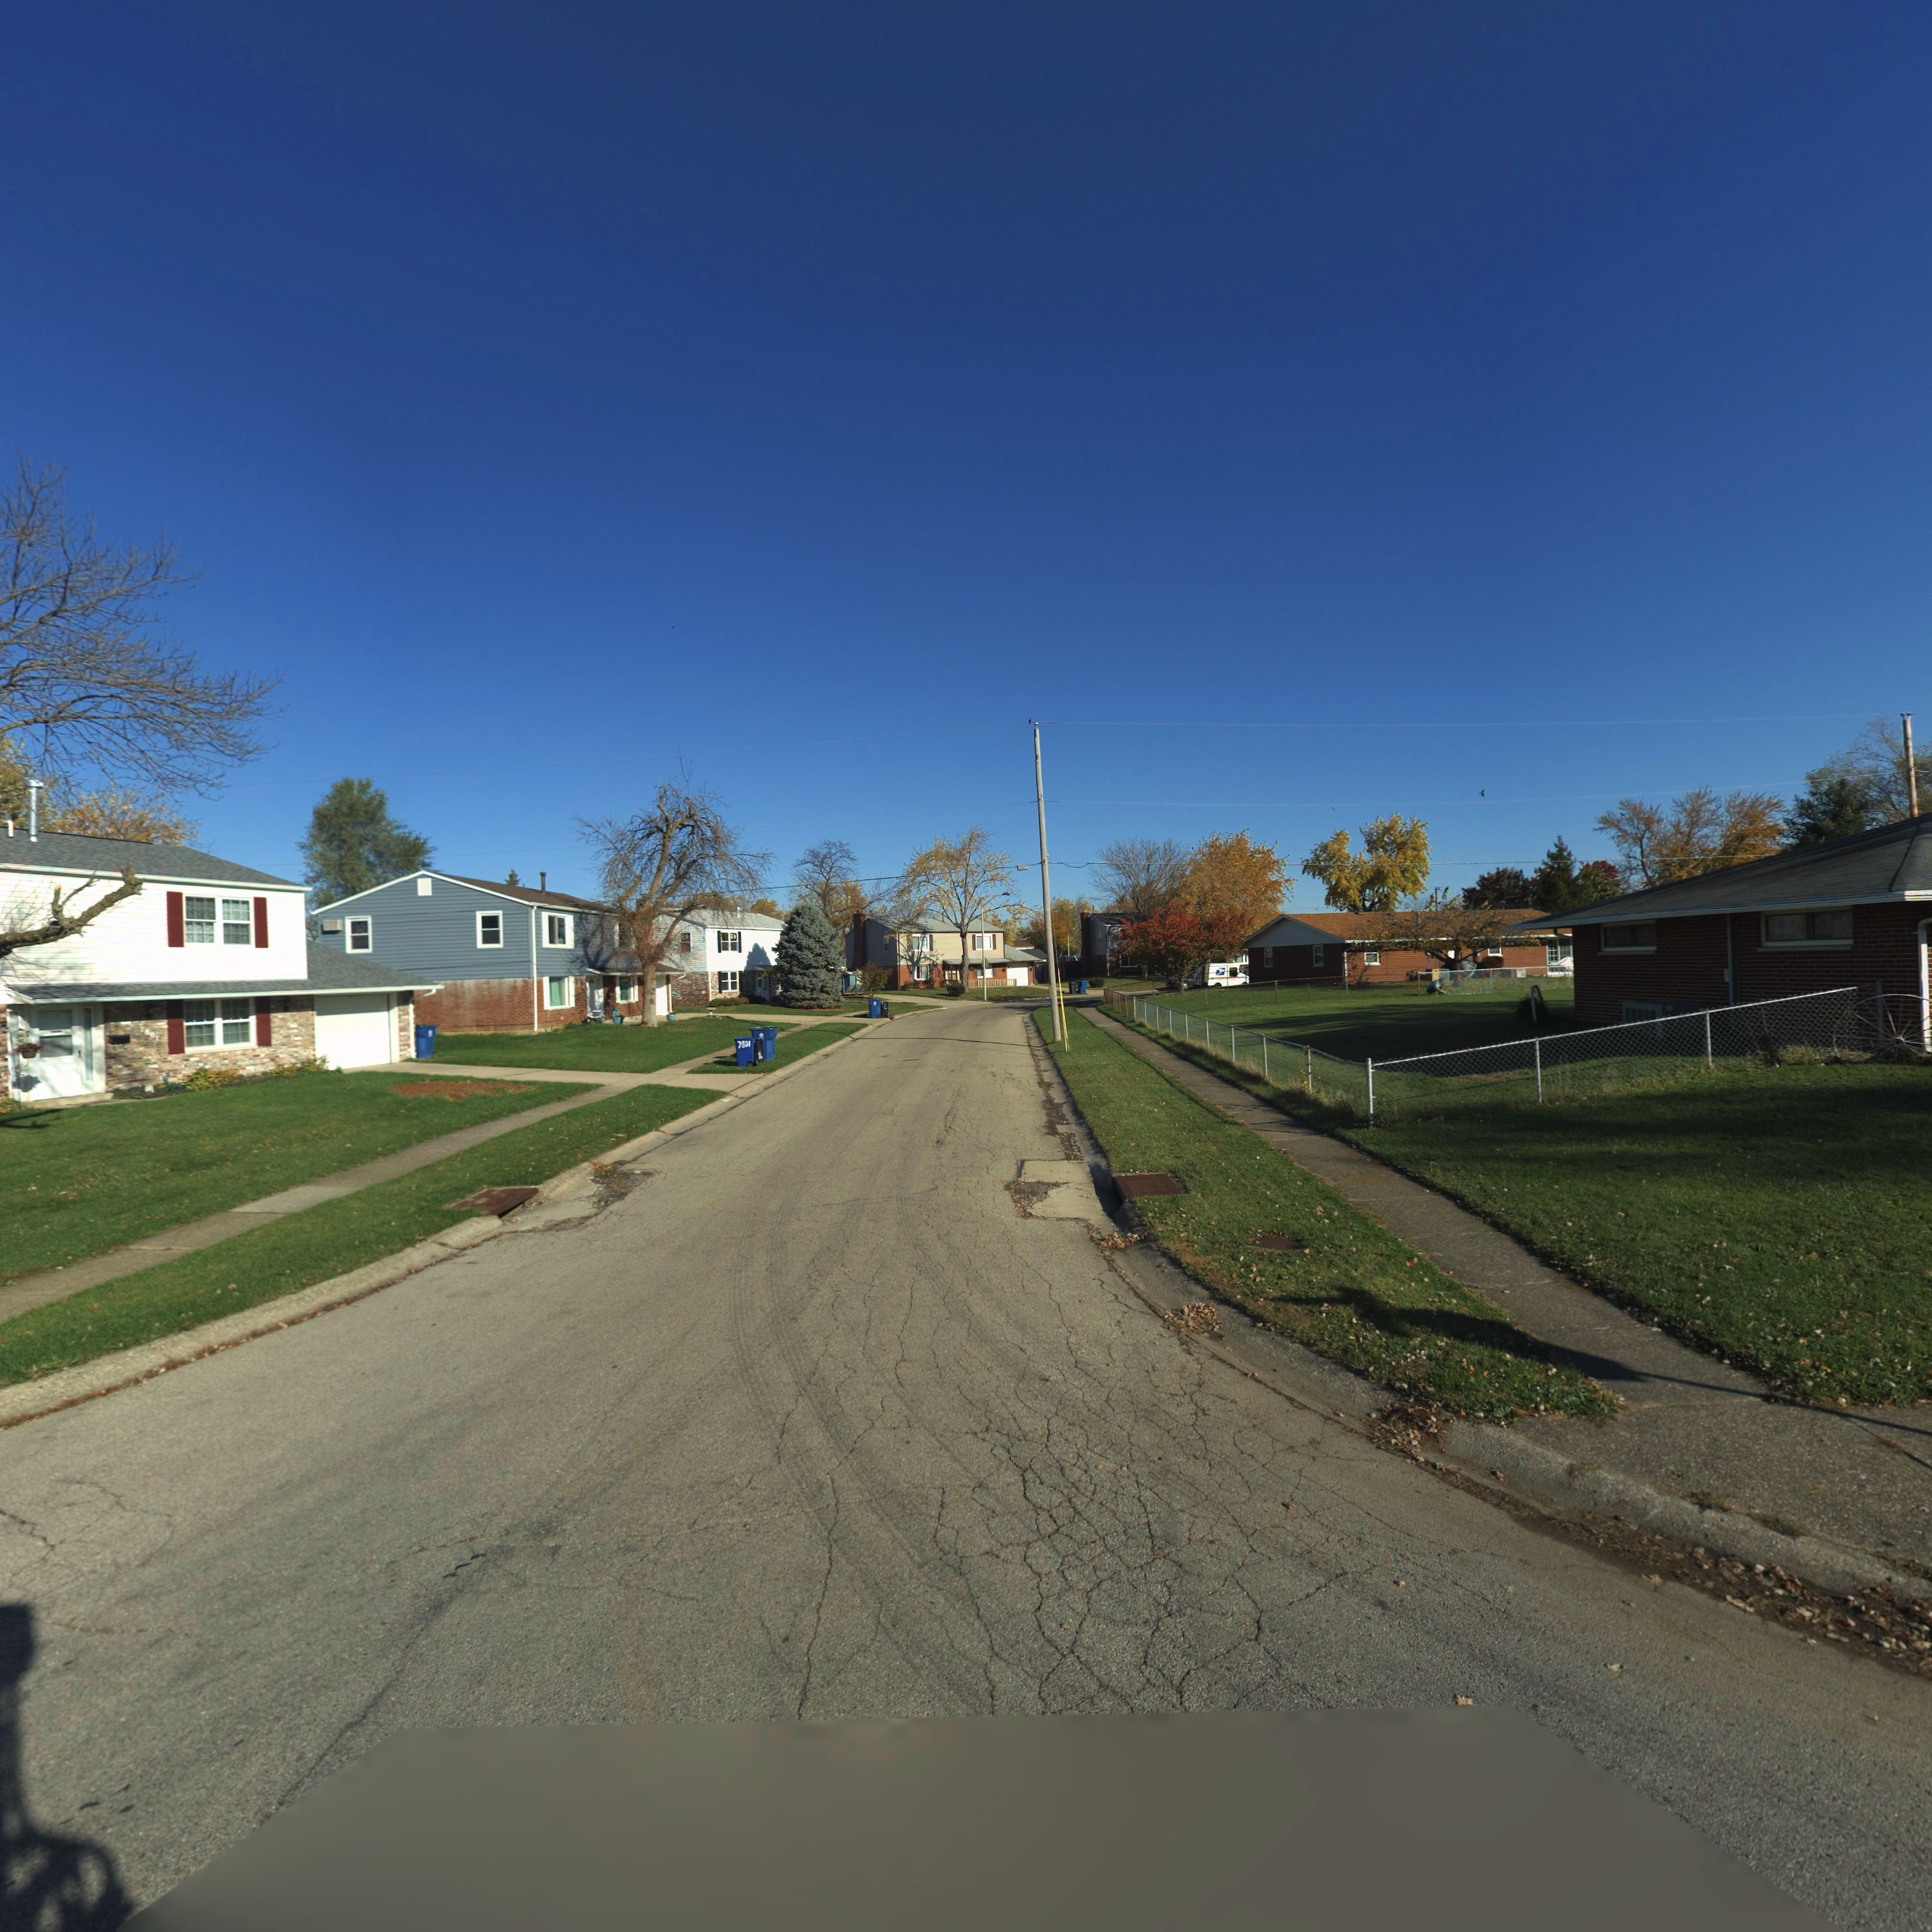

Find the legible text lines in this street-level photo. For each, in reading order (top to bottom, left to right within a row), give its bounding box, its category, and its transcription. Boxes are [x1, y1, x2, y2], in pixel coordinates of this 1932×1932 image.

[138, 1026, 160, 1043] StreetNumber: 7801
[736, 1040, 751, 1049] StreetNumber: 7801